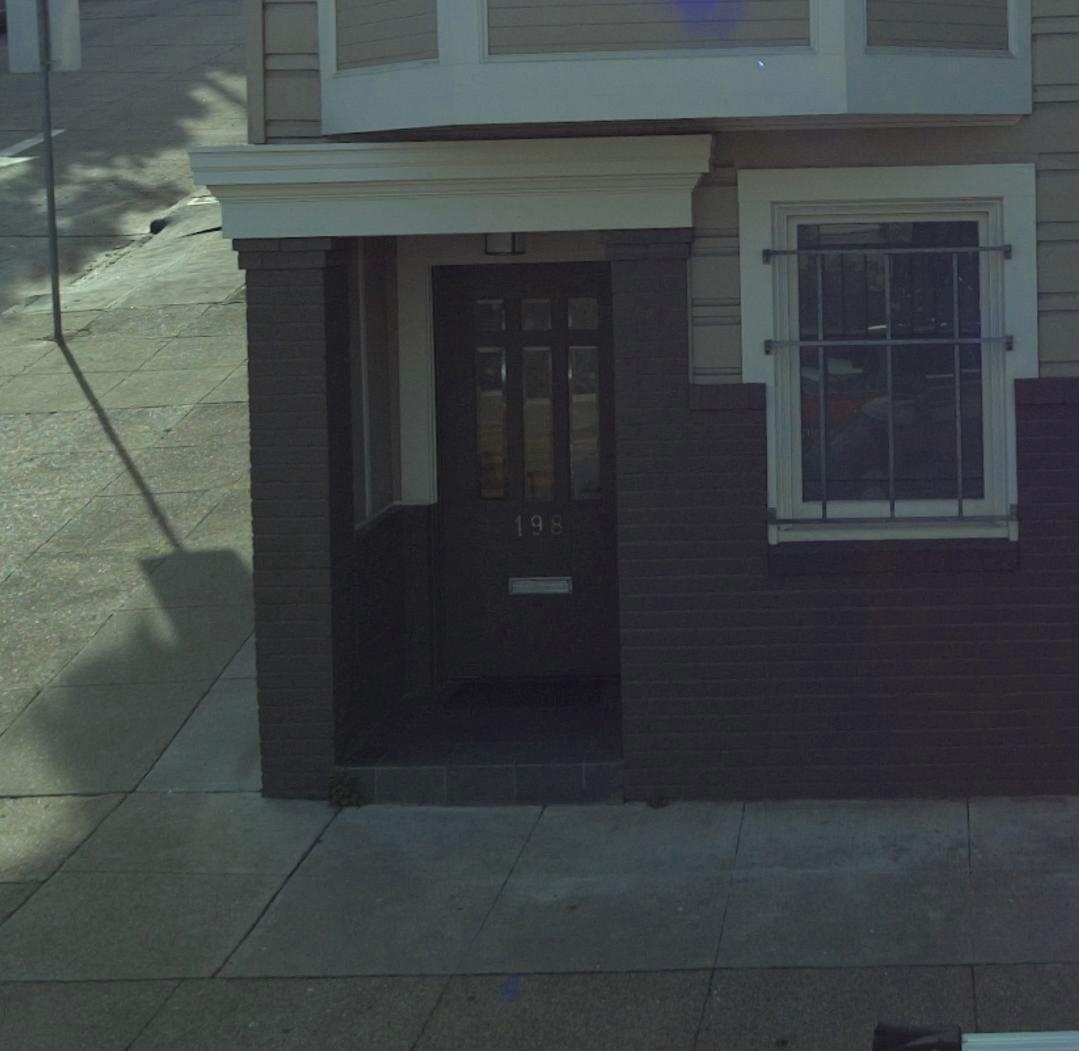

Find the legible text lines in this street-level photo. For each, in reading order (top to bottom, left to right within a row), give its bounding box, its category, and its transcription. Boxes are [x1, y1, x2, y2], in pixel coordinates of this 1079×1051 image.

[514, 514, 565, 538] StreetNumber: 198